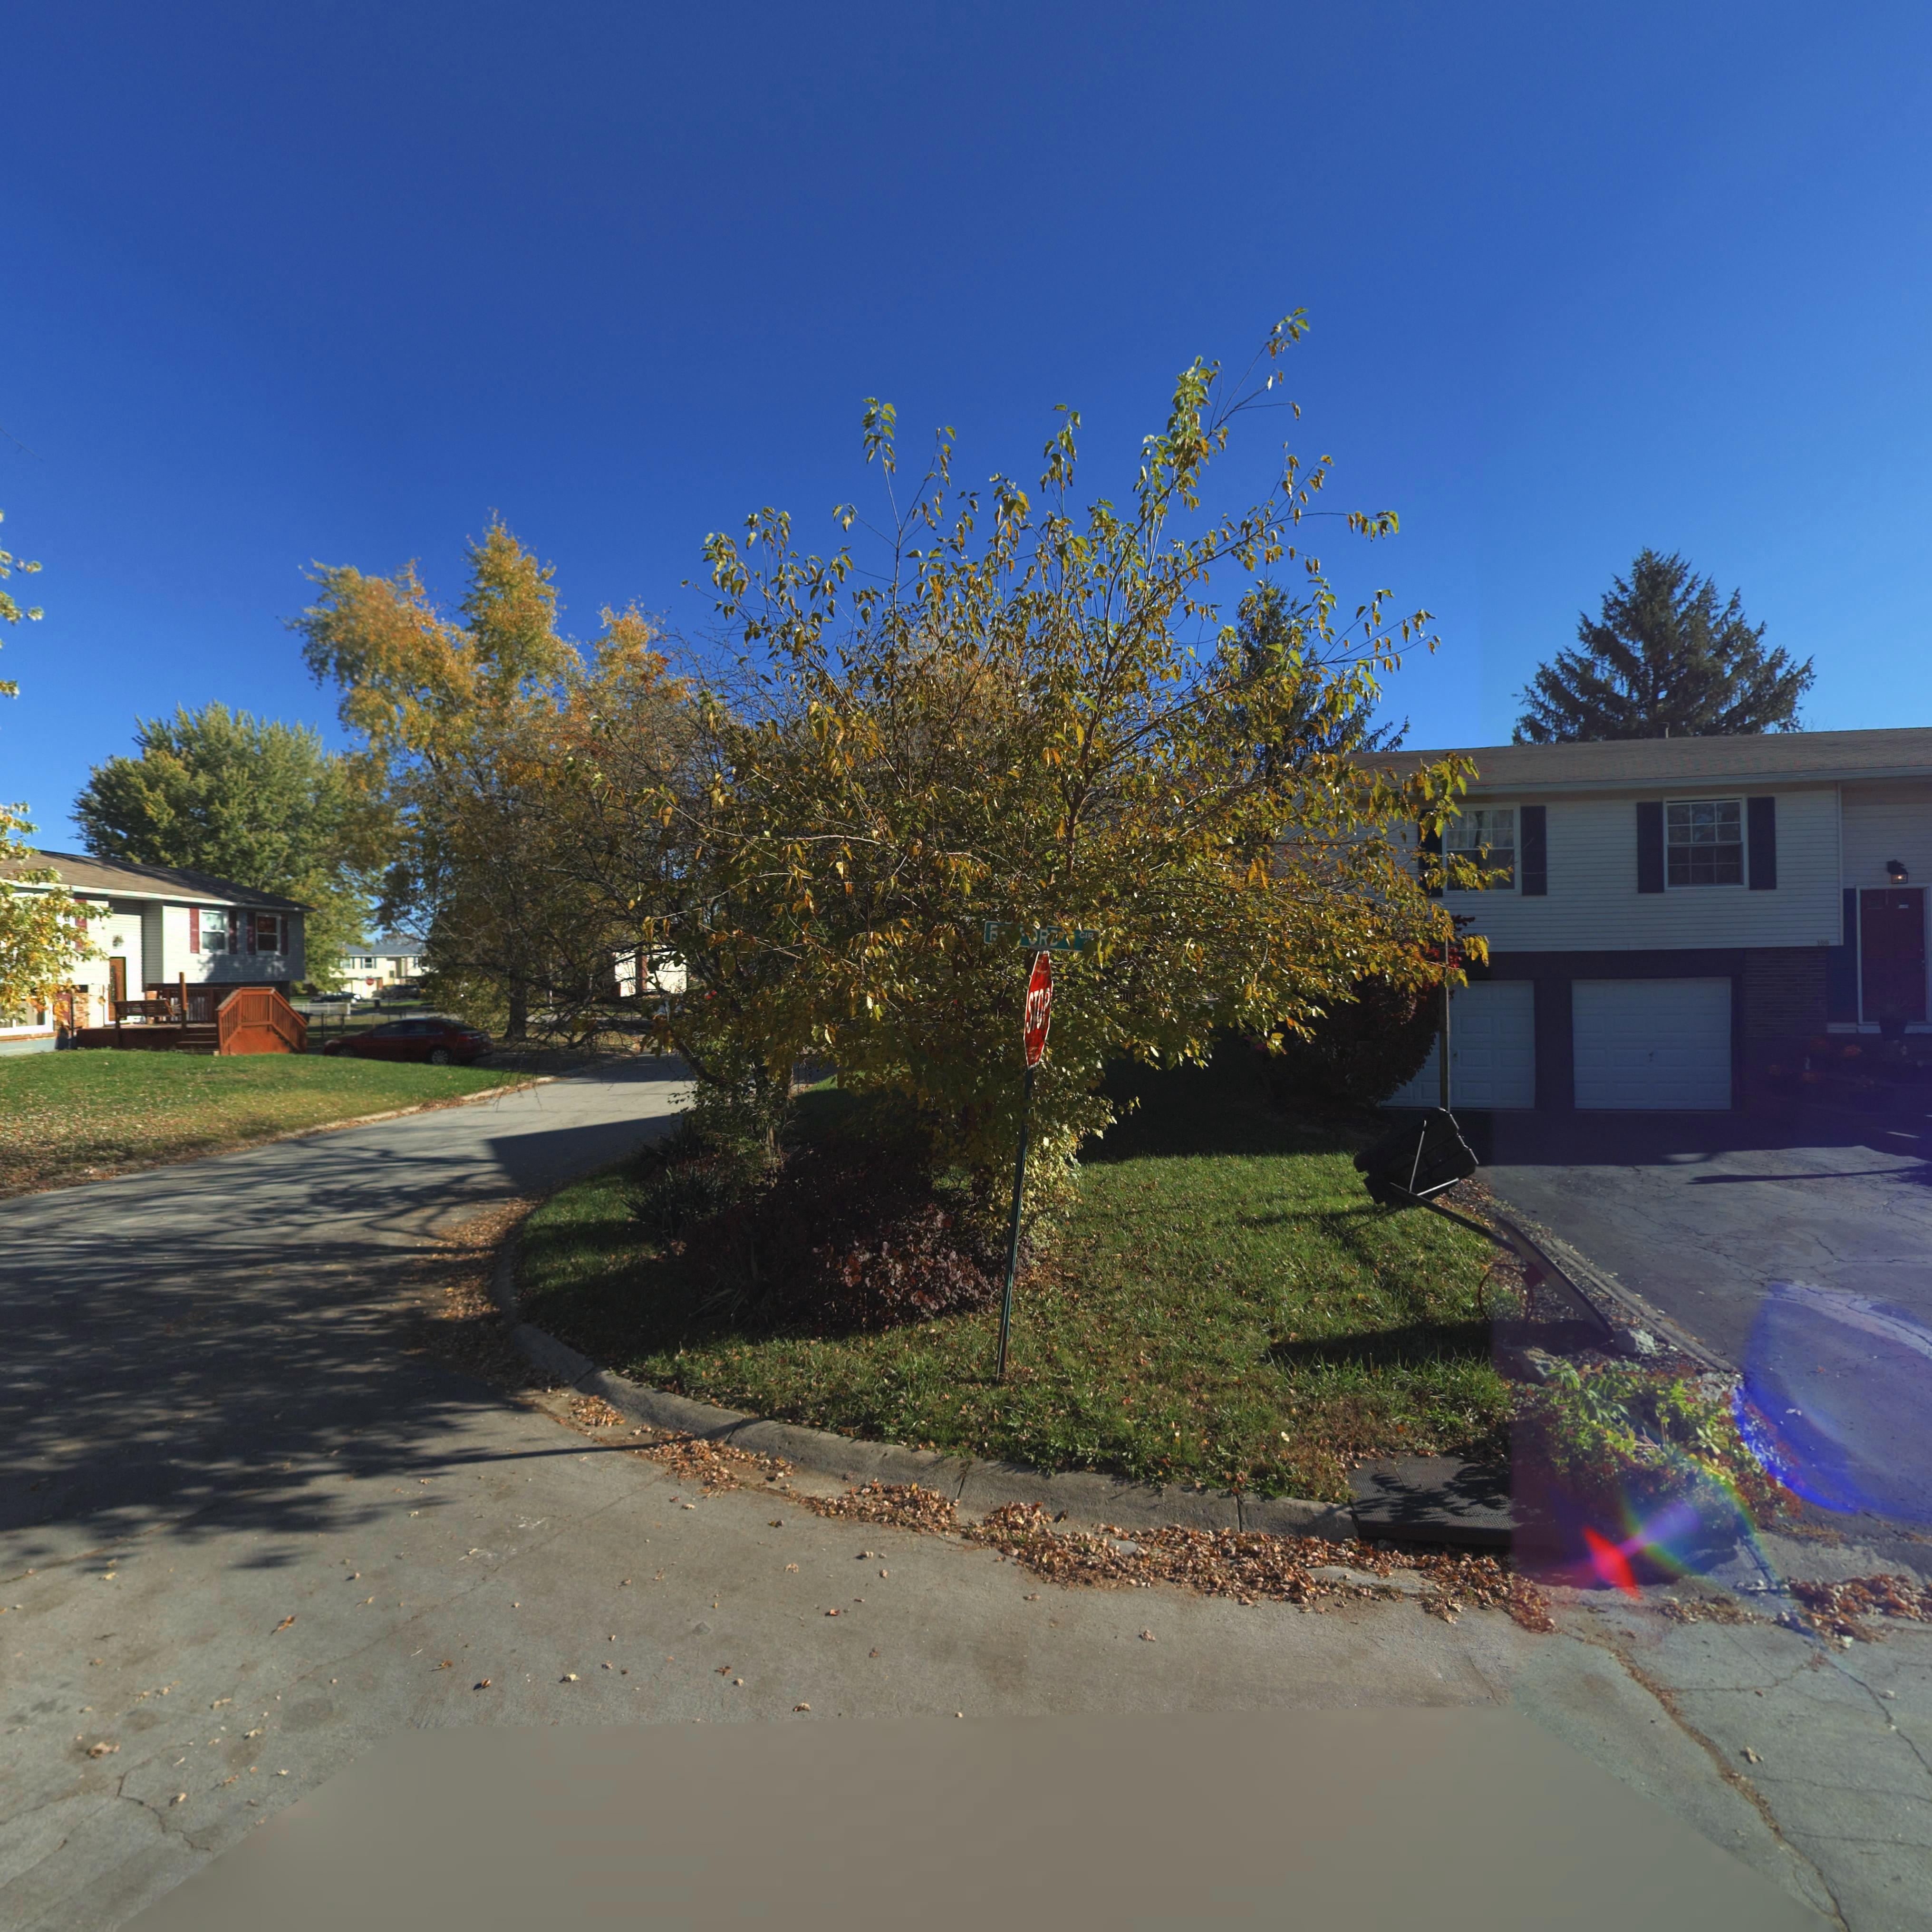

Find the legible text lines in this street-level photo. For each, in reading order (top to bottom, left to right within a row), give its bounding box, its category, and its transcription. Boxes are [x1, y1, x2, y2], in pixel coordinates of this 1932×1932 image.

[1816, 939, 1830, 947] StreetNumber: 100